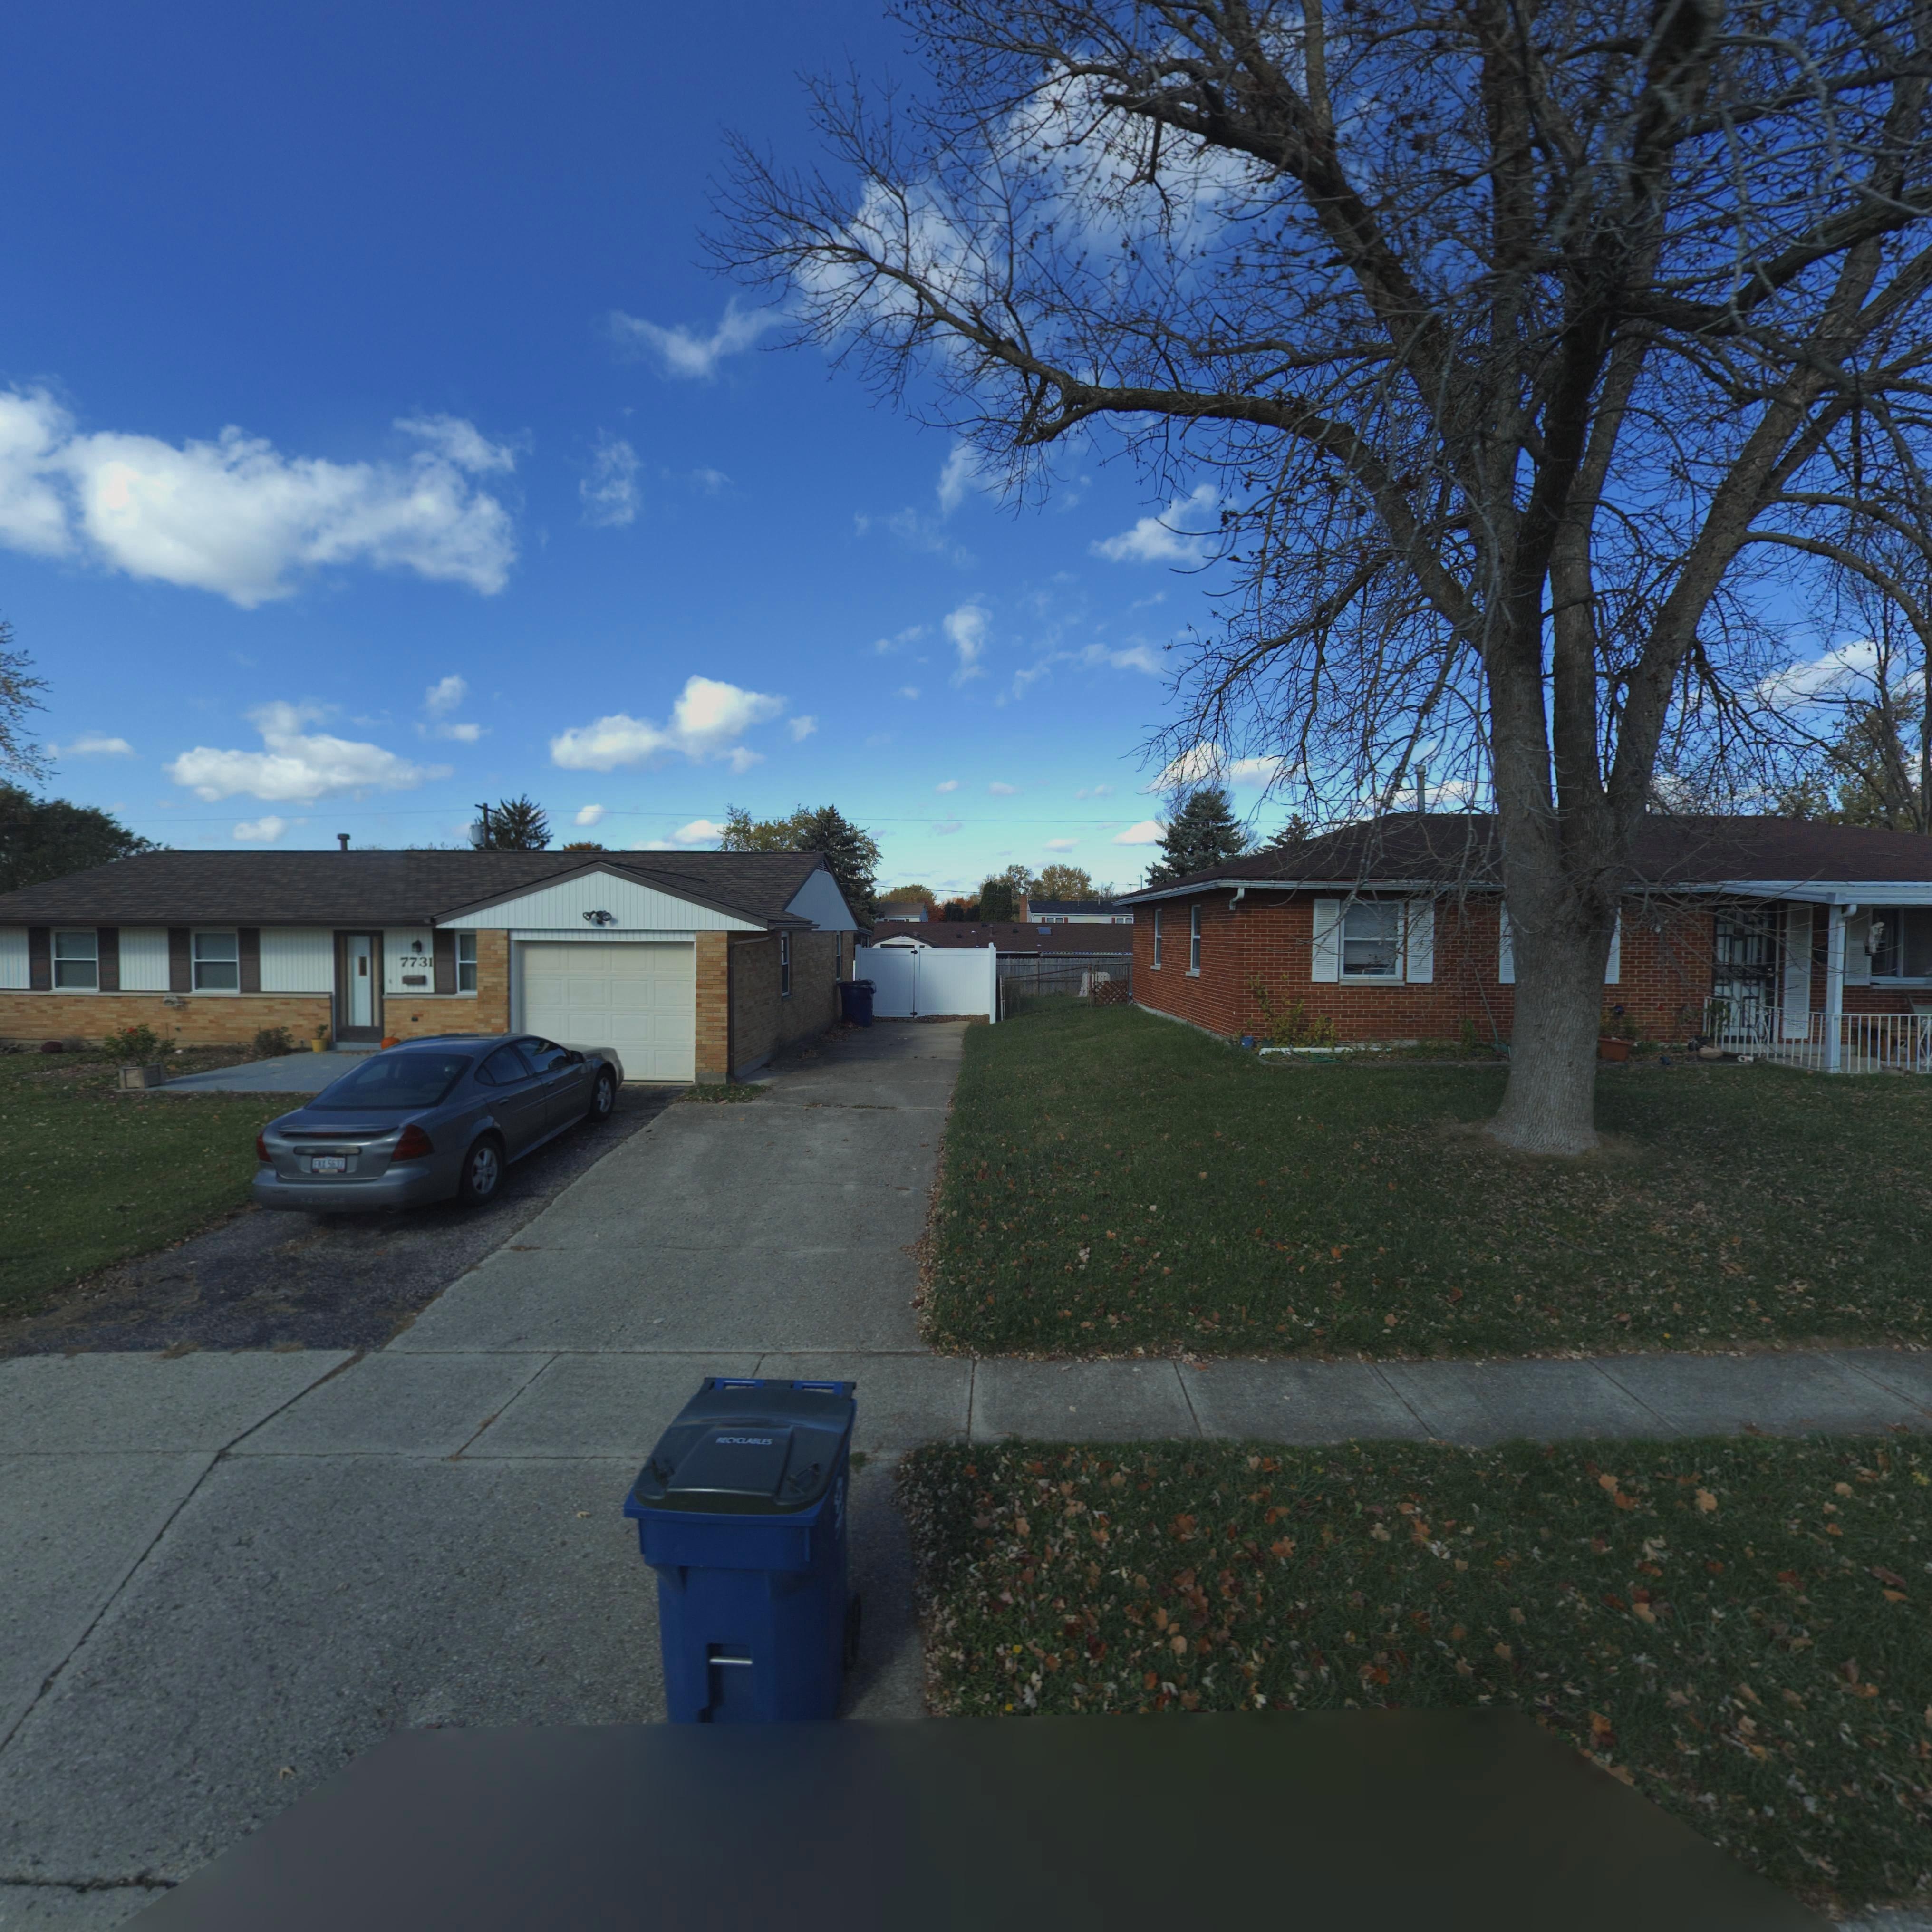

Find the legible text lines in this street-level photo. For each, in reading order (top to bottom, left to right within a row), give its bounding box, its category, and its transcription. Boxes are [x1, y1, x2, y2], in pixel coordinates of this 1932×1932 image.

[399, 956, 433, 968] StreetNumber: 7731